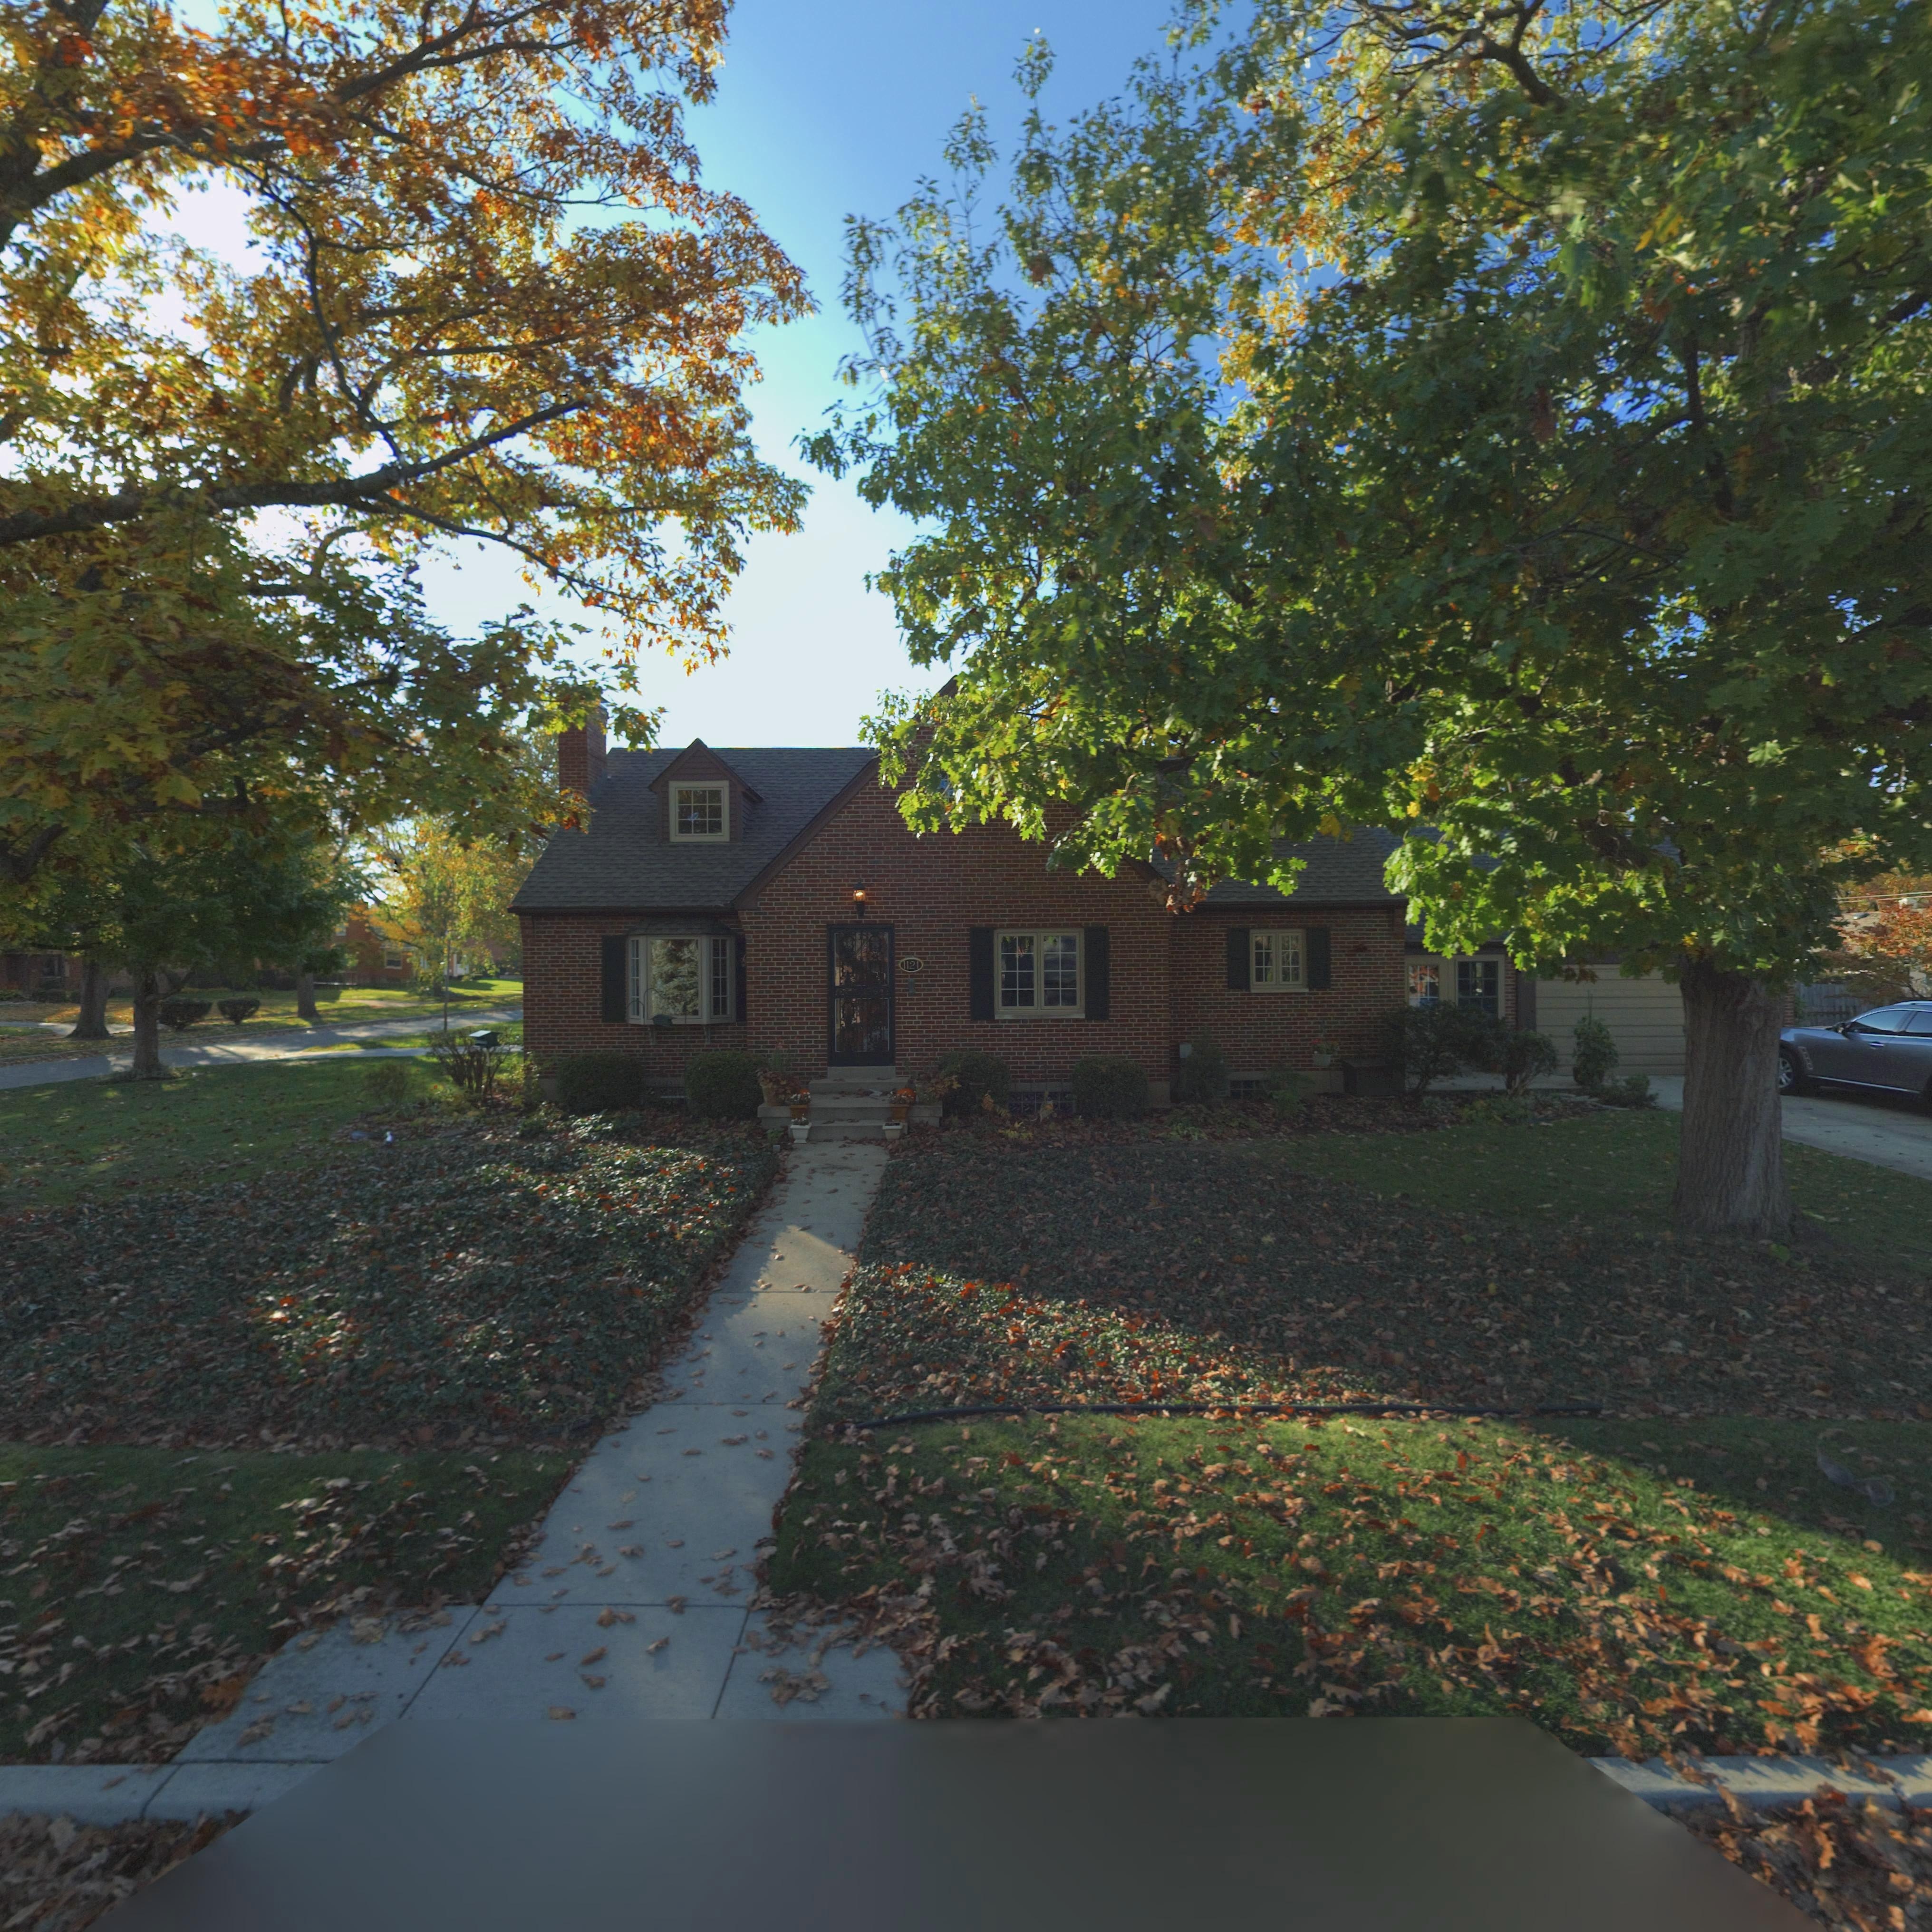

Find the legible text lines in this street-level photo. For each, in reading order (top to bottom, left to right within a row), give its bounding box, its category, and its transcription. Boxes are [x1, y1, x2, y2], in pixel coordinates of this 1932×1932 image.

[902, 959, 918, 969] StreetNumber: 1121